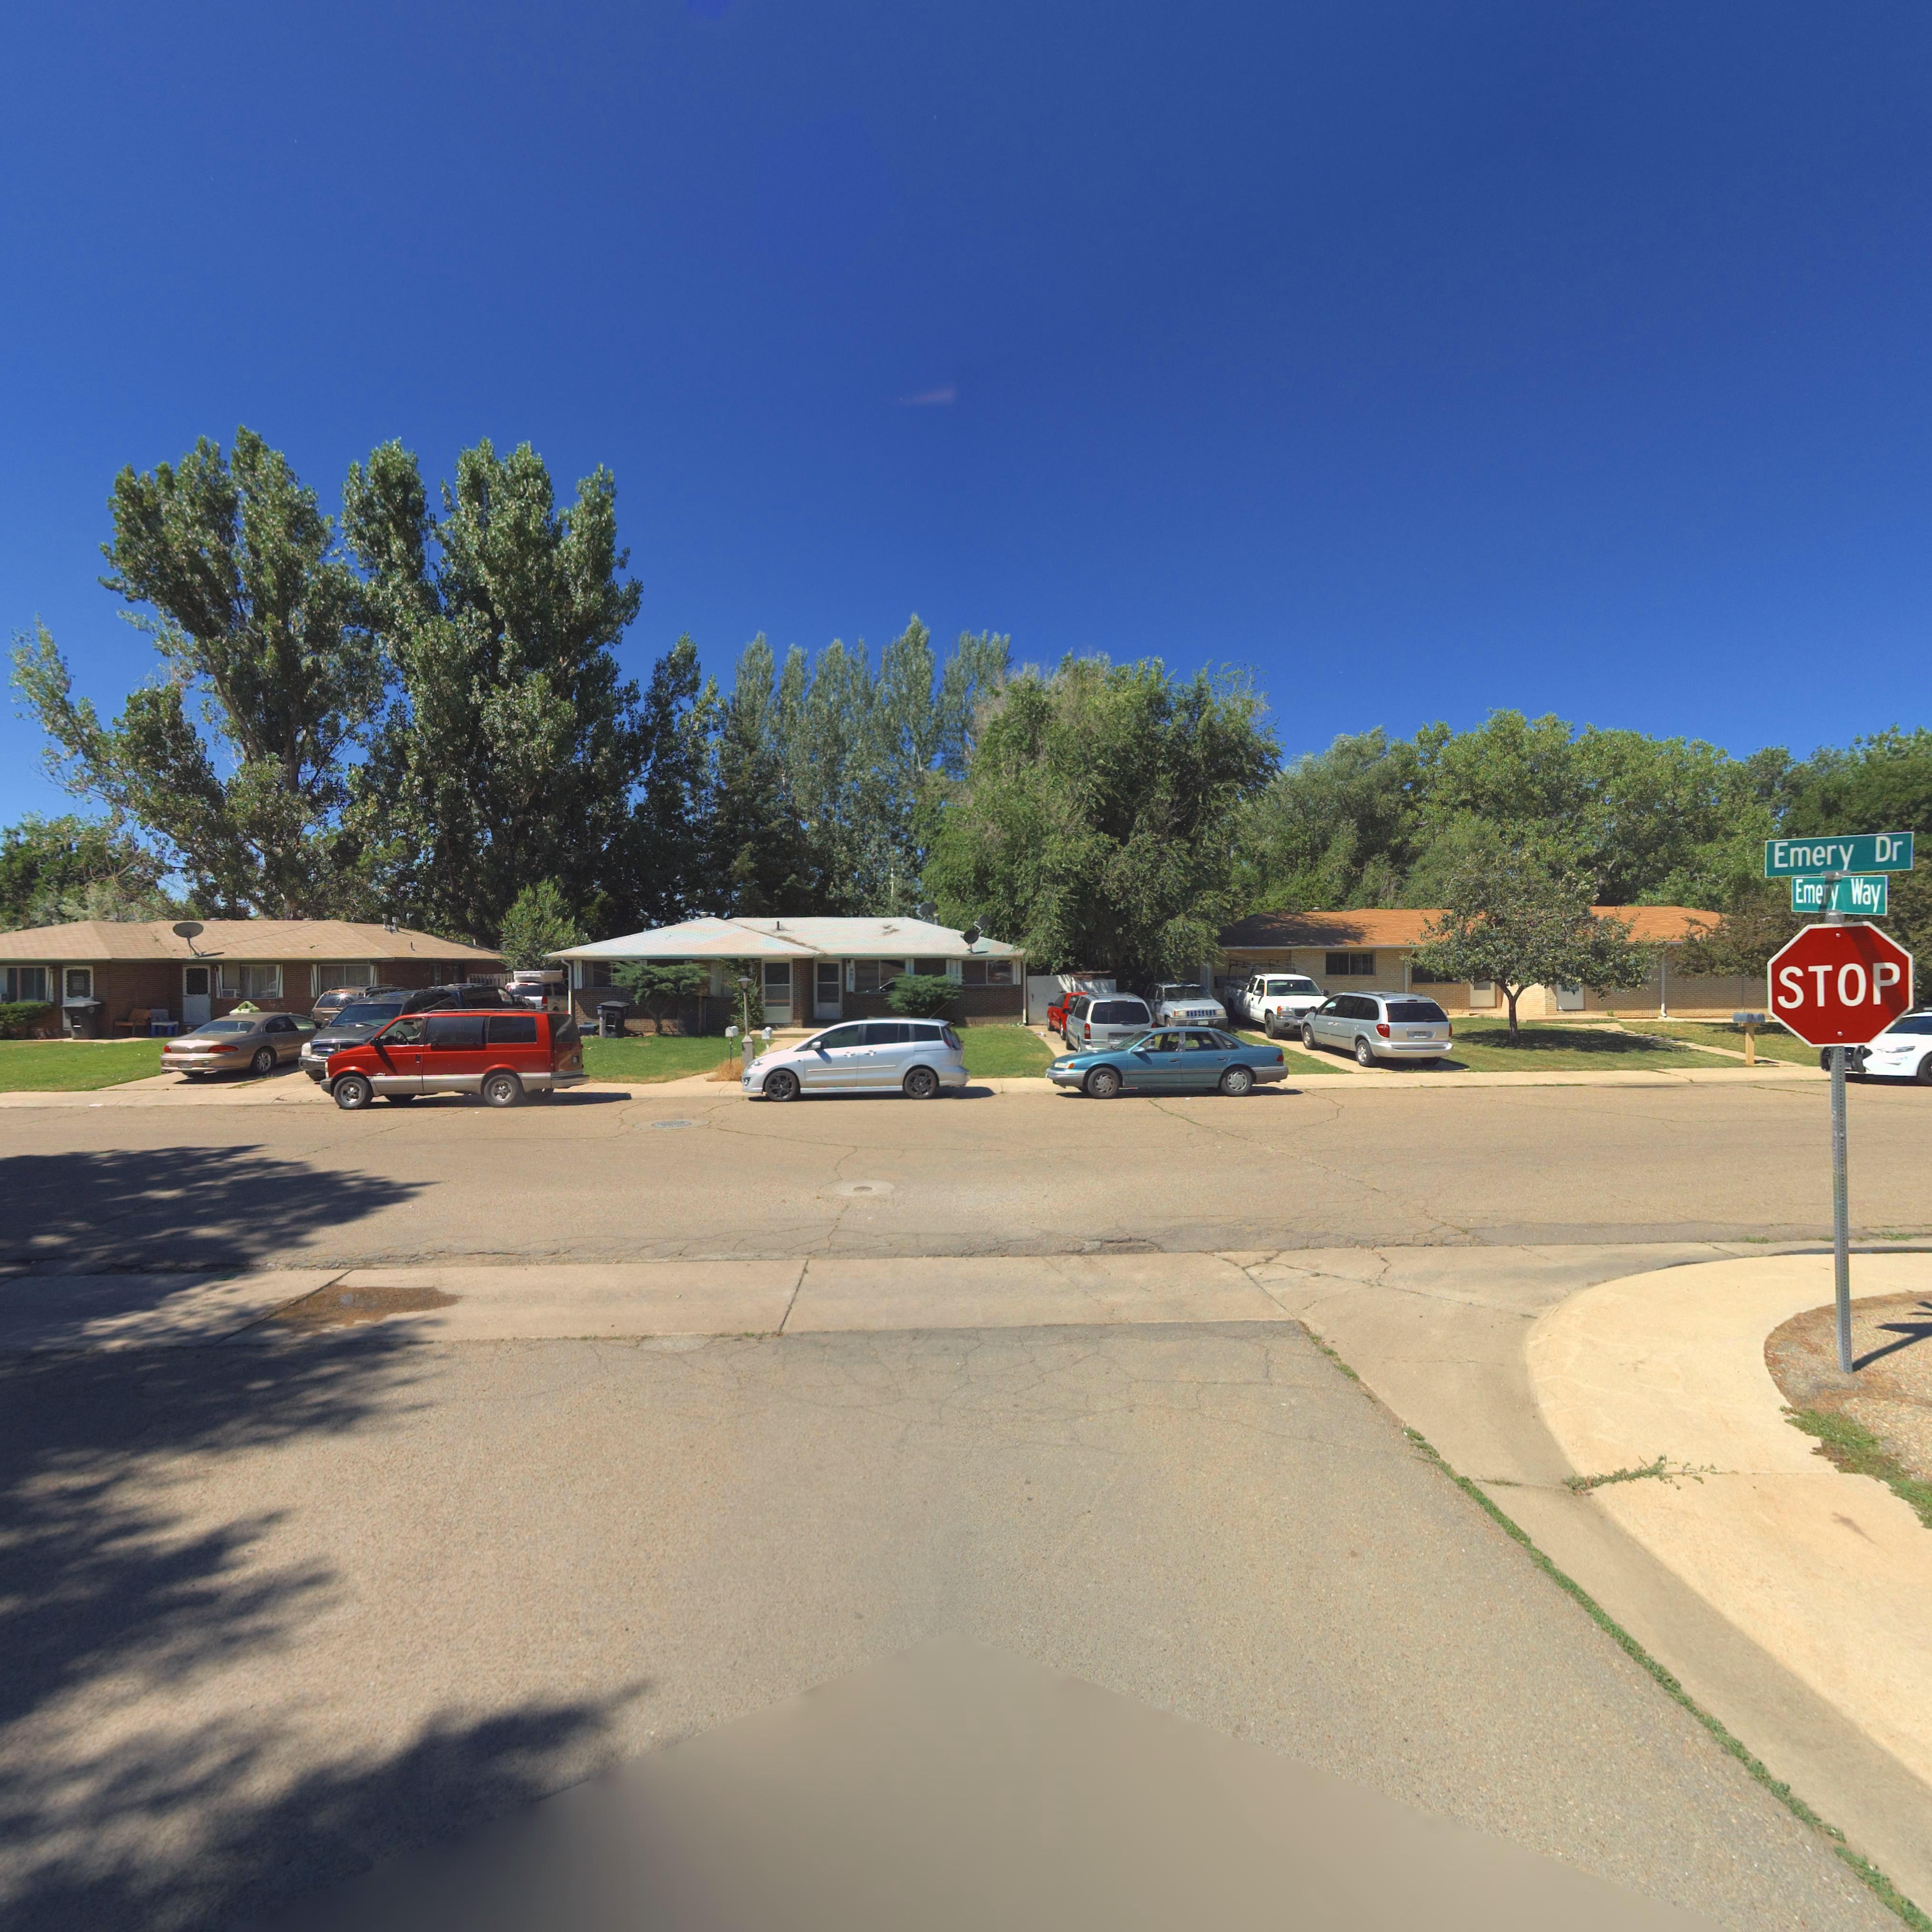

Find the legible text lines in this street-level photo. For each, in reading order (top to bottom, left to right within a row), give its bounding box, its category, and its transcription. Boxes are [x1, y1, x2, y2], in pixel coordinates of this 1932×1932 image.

[1770, 834, 1905, 872] StreetName: Emery Dr
[1793, 877, 1883, 914] StreetName: Emery Way
[850, 967, 853, 981] StreetNumber: 403